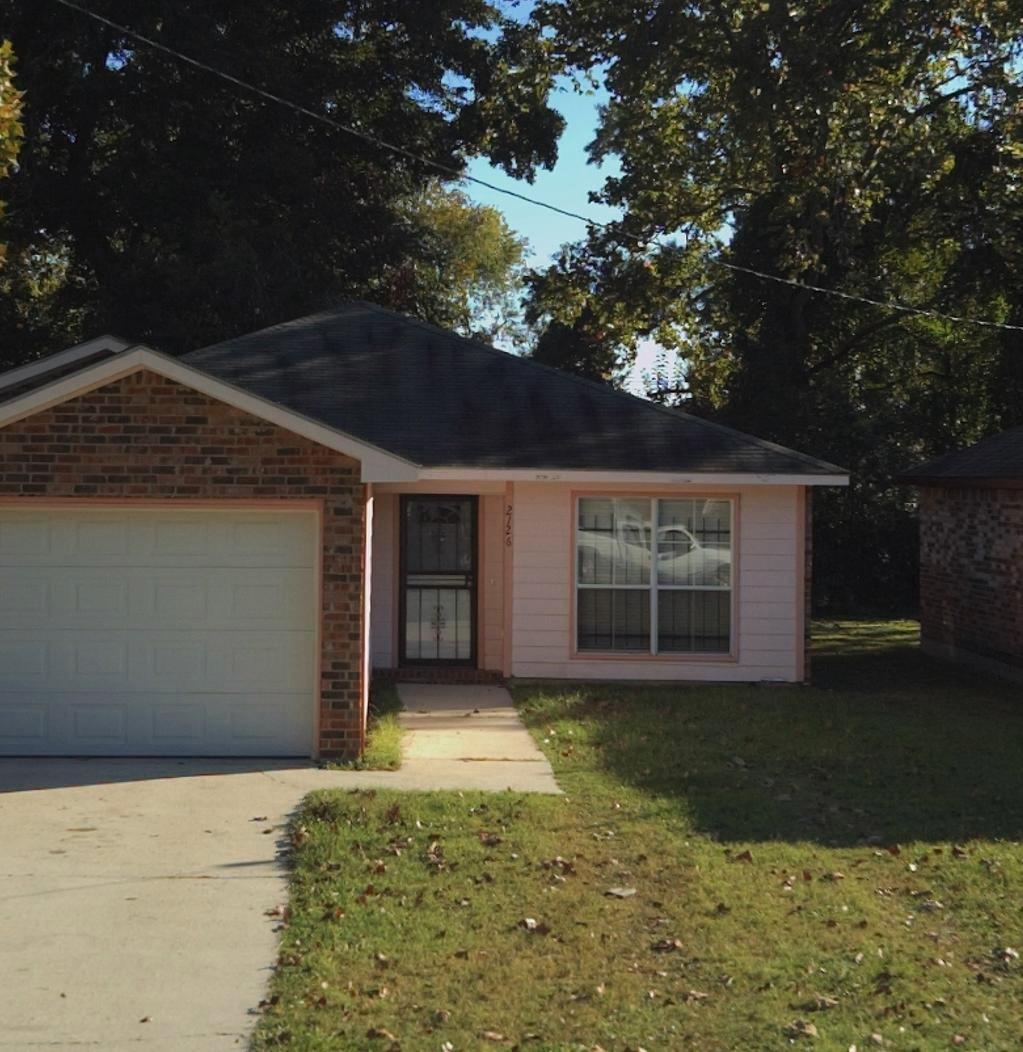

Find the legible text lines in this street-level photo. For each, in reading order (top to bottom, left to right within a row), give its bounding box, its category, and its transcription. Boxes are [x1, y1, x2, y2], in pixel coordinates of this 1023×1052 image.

[504, 504, 513, 547] StreetNumber: 2126